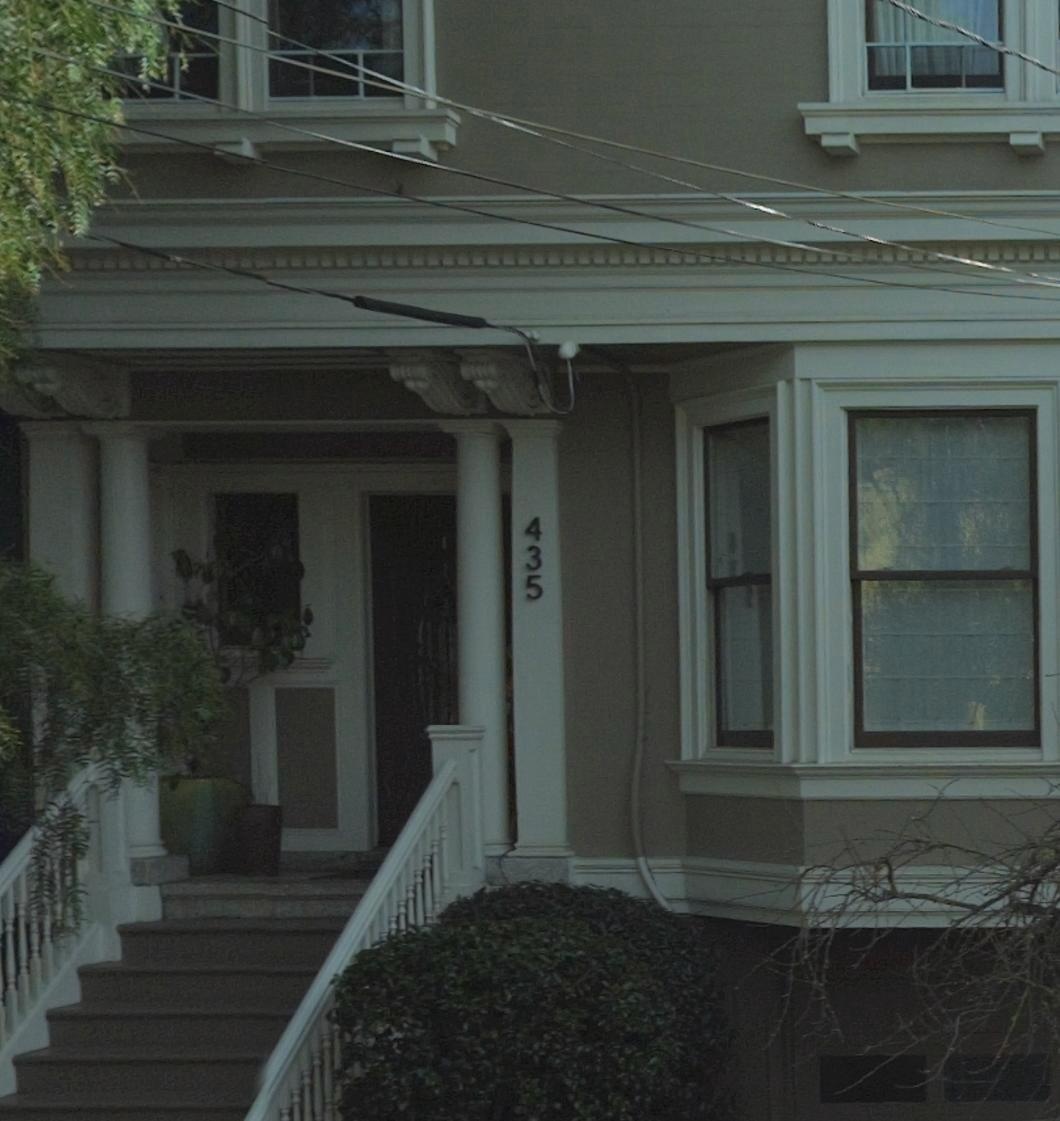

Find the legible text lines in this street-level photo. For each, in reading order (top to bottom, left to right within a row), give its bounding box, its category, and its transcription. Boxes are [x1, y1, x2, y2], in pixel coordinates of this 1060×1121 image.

[524, 515, 545, 601] StreetNumber: 435